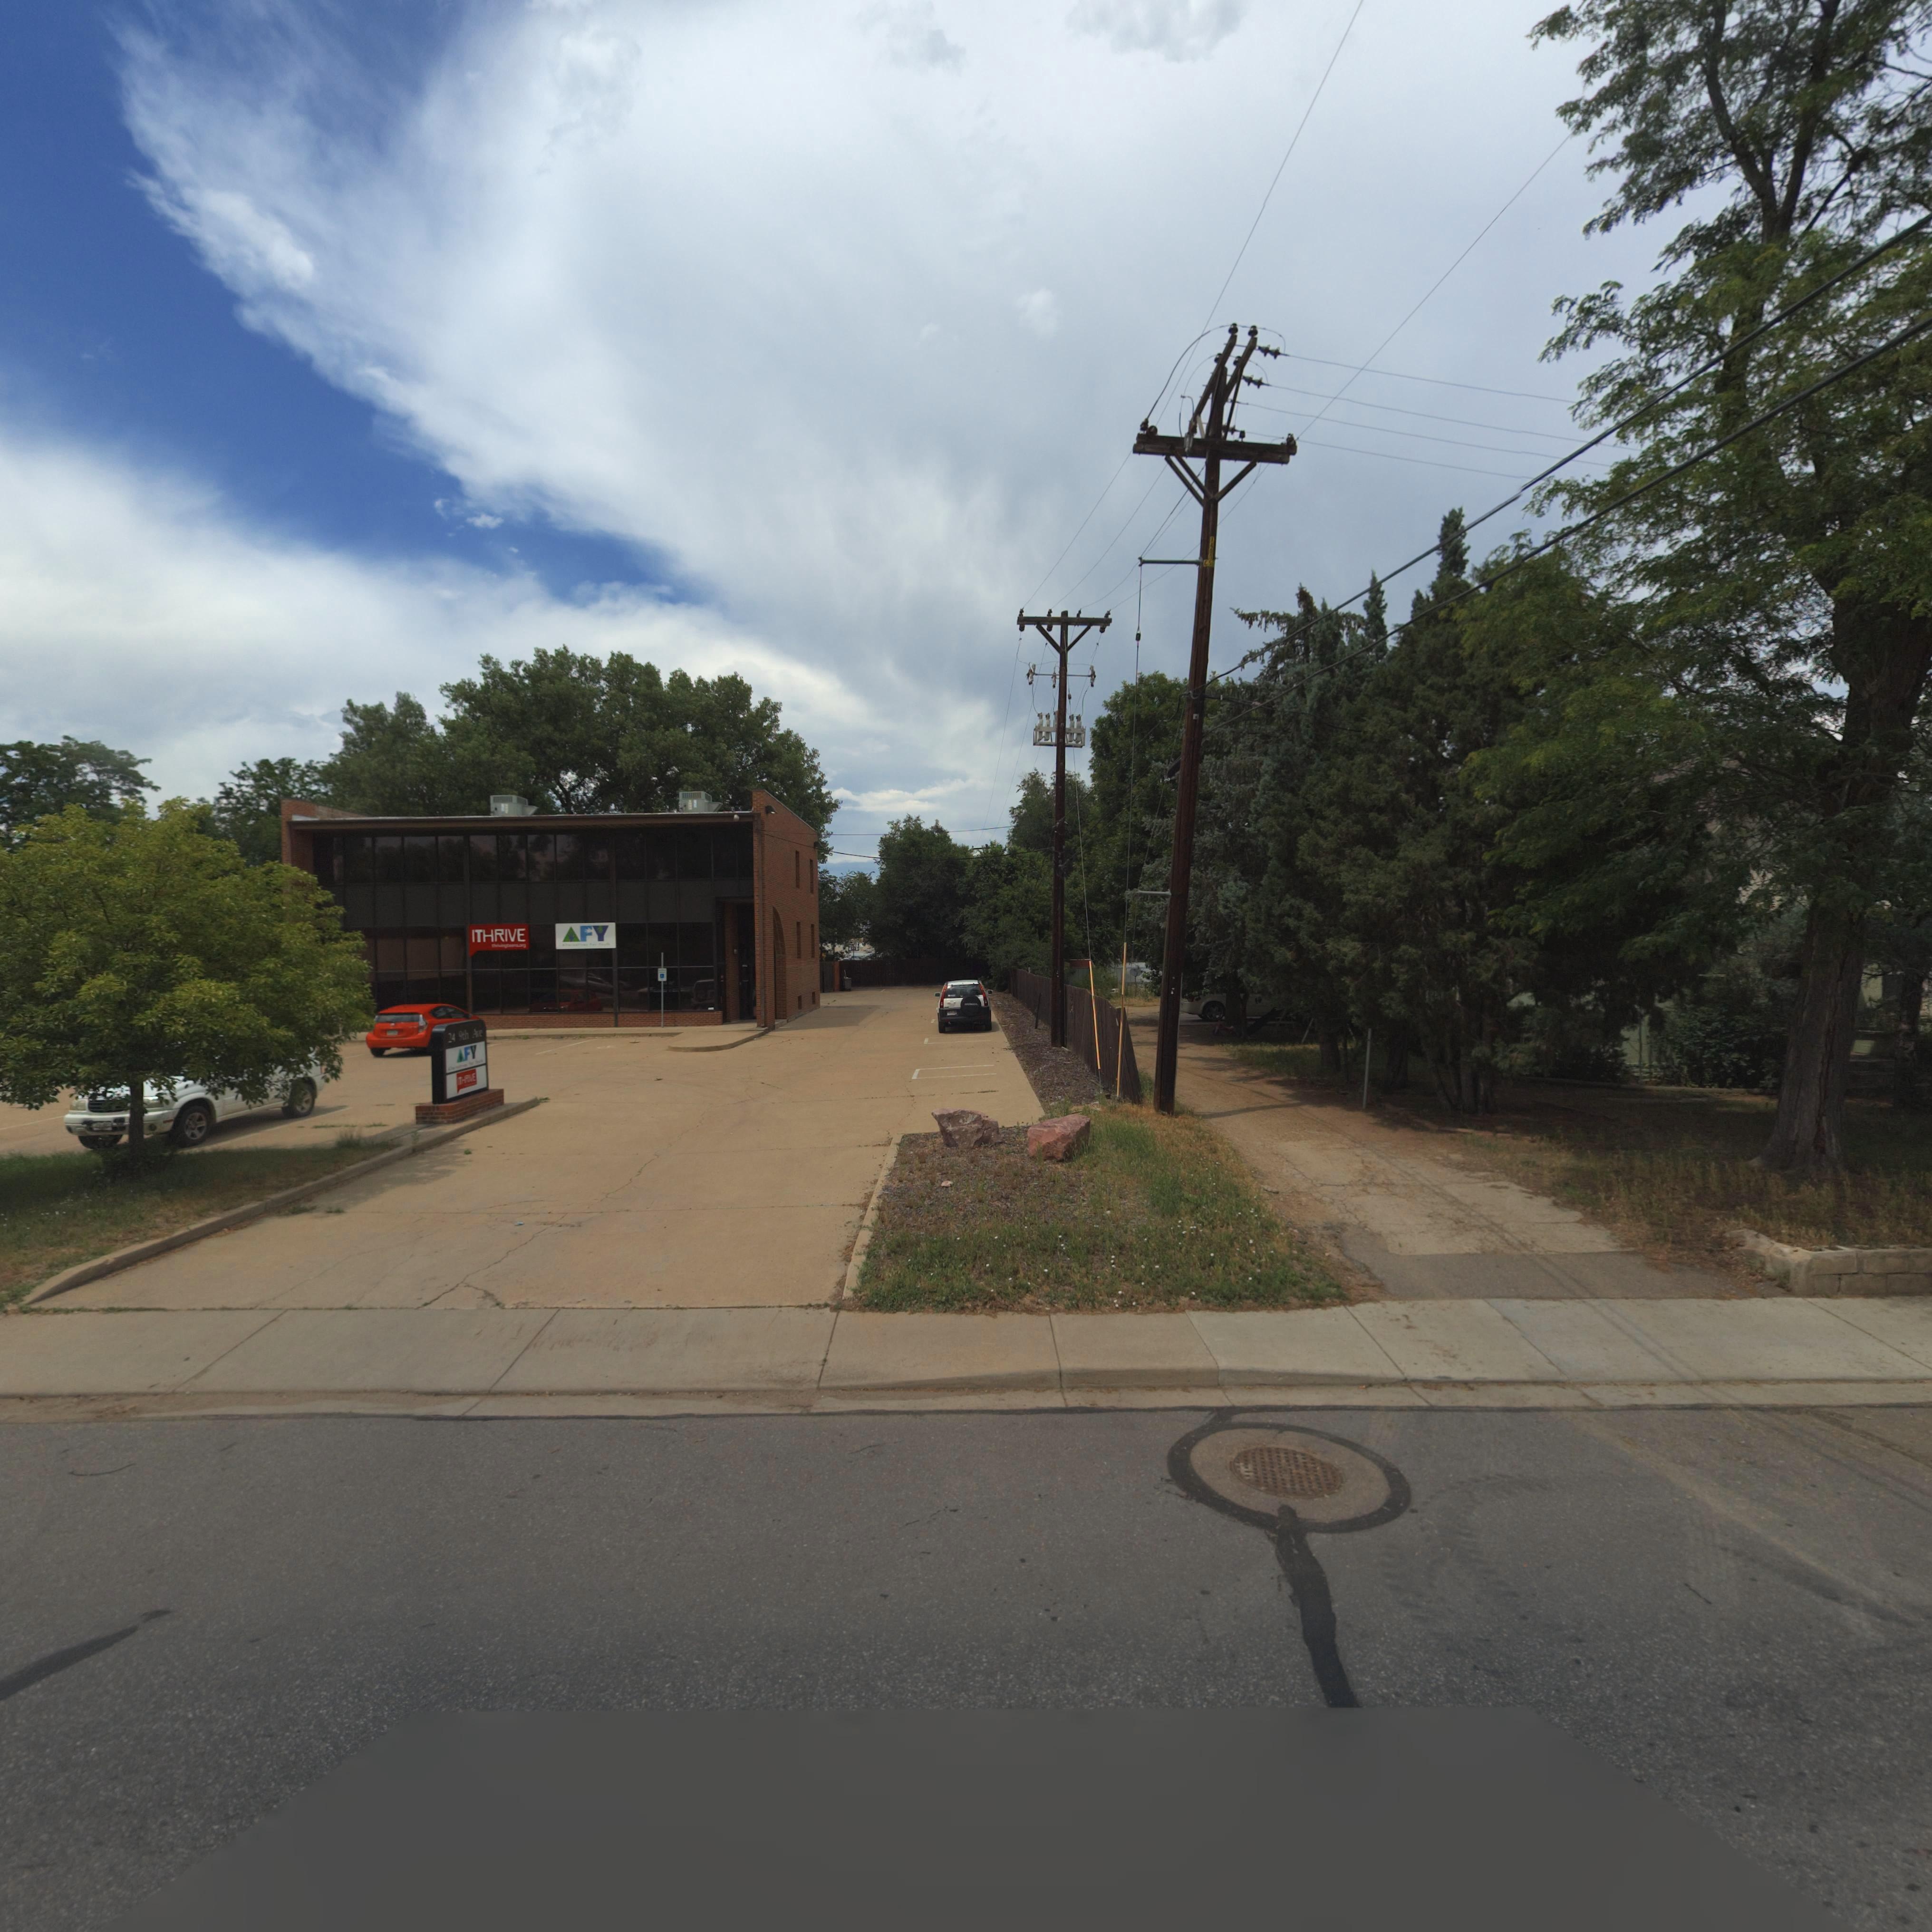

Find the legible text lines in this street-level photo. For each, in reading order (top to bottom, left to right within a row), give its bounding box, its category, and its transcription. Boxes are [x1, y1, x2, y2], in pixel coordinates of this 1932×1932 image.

[472, 928, 525, 942] BusinessName: ITHRIVE
[561, 925, 609, 942] BusinessName: *FY
[446, 1031, 455, 1043] StreetNumber: 24
[457, 1027, 483, 1042] StreetName: 9th Ave
[455, 1044, 477, 1063] BusinessName: *FY
[457, 1072, 476, 1085] BusinessName: *THR*VE